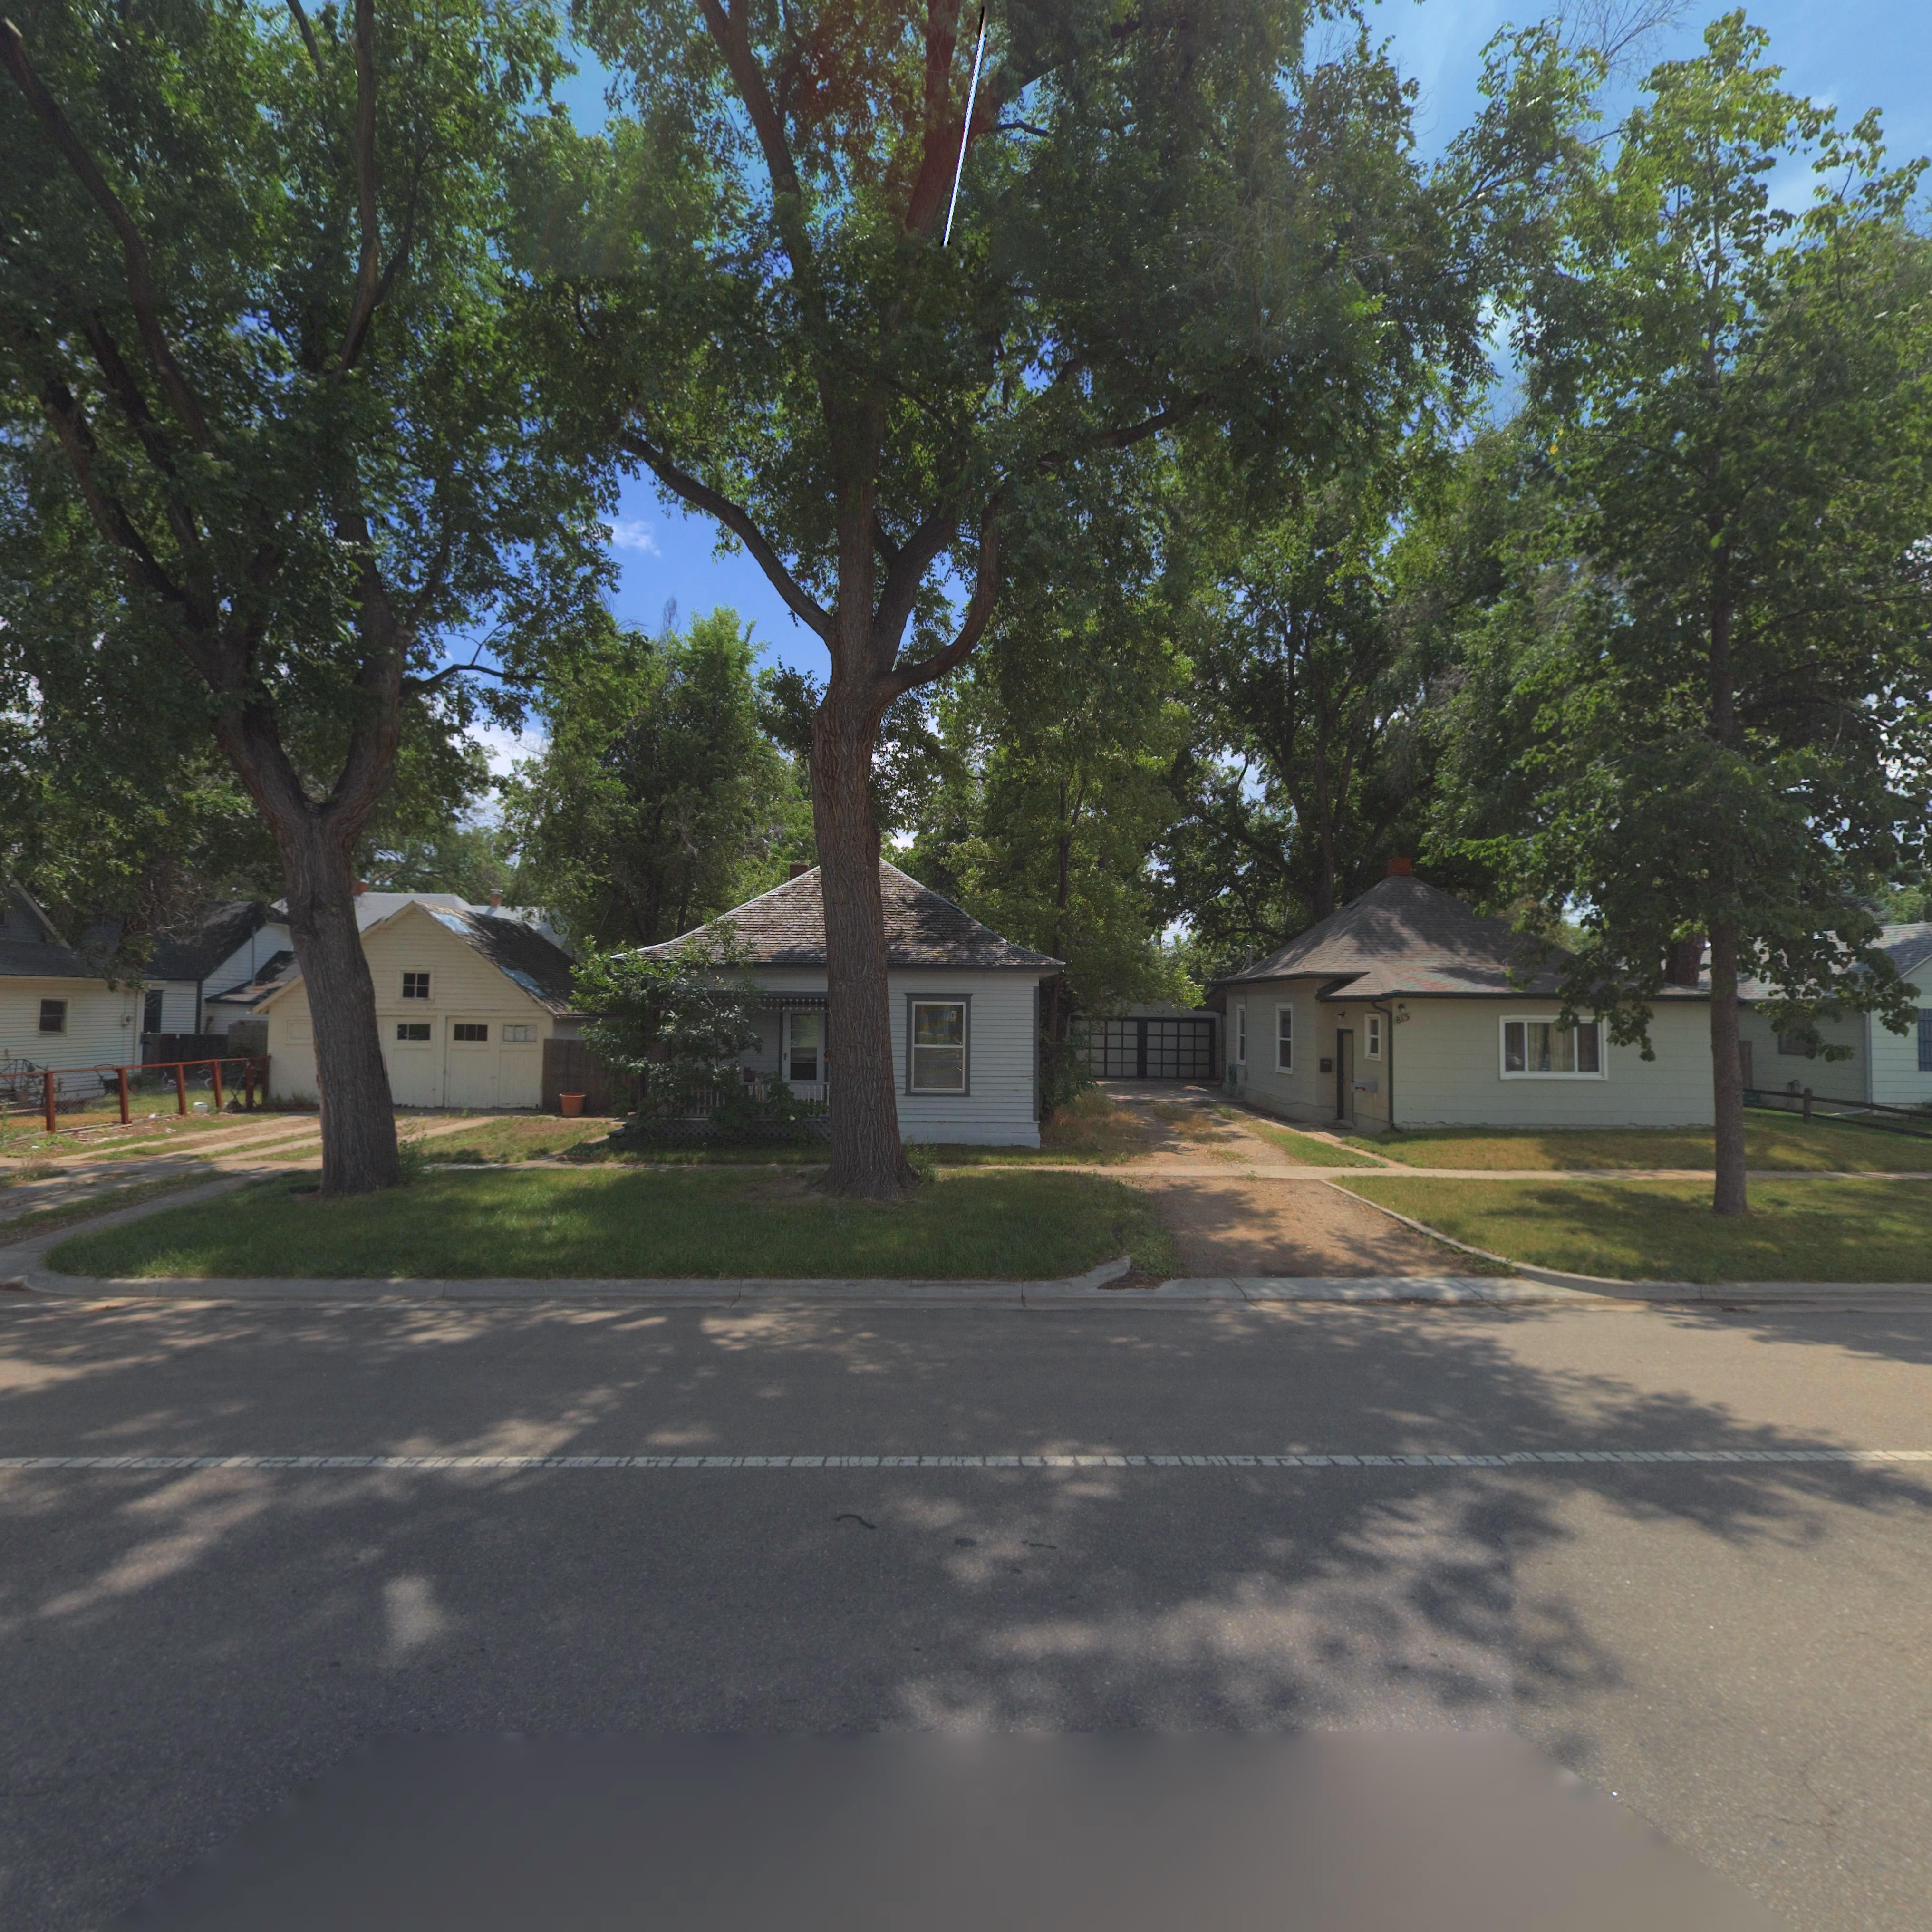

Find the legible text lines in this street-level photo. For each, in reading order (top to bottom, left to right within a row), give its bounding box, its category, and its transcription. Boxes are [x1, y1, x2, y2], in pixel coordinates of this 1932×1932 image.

[1395, 1012, 1410, 1024] StreetNumber: 813